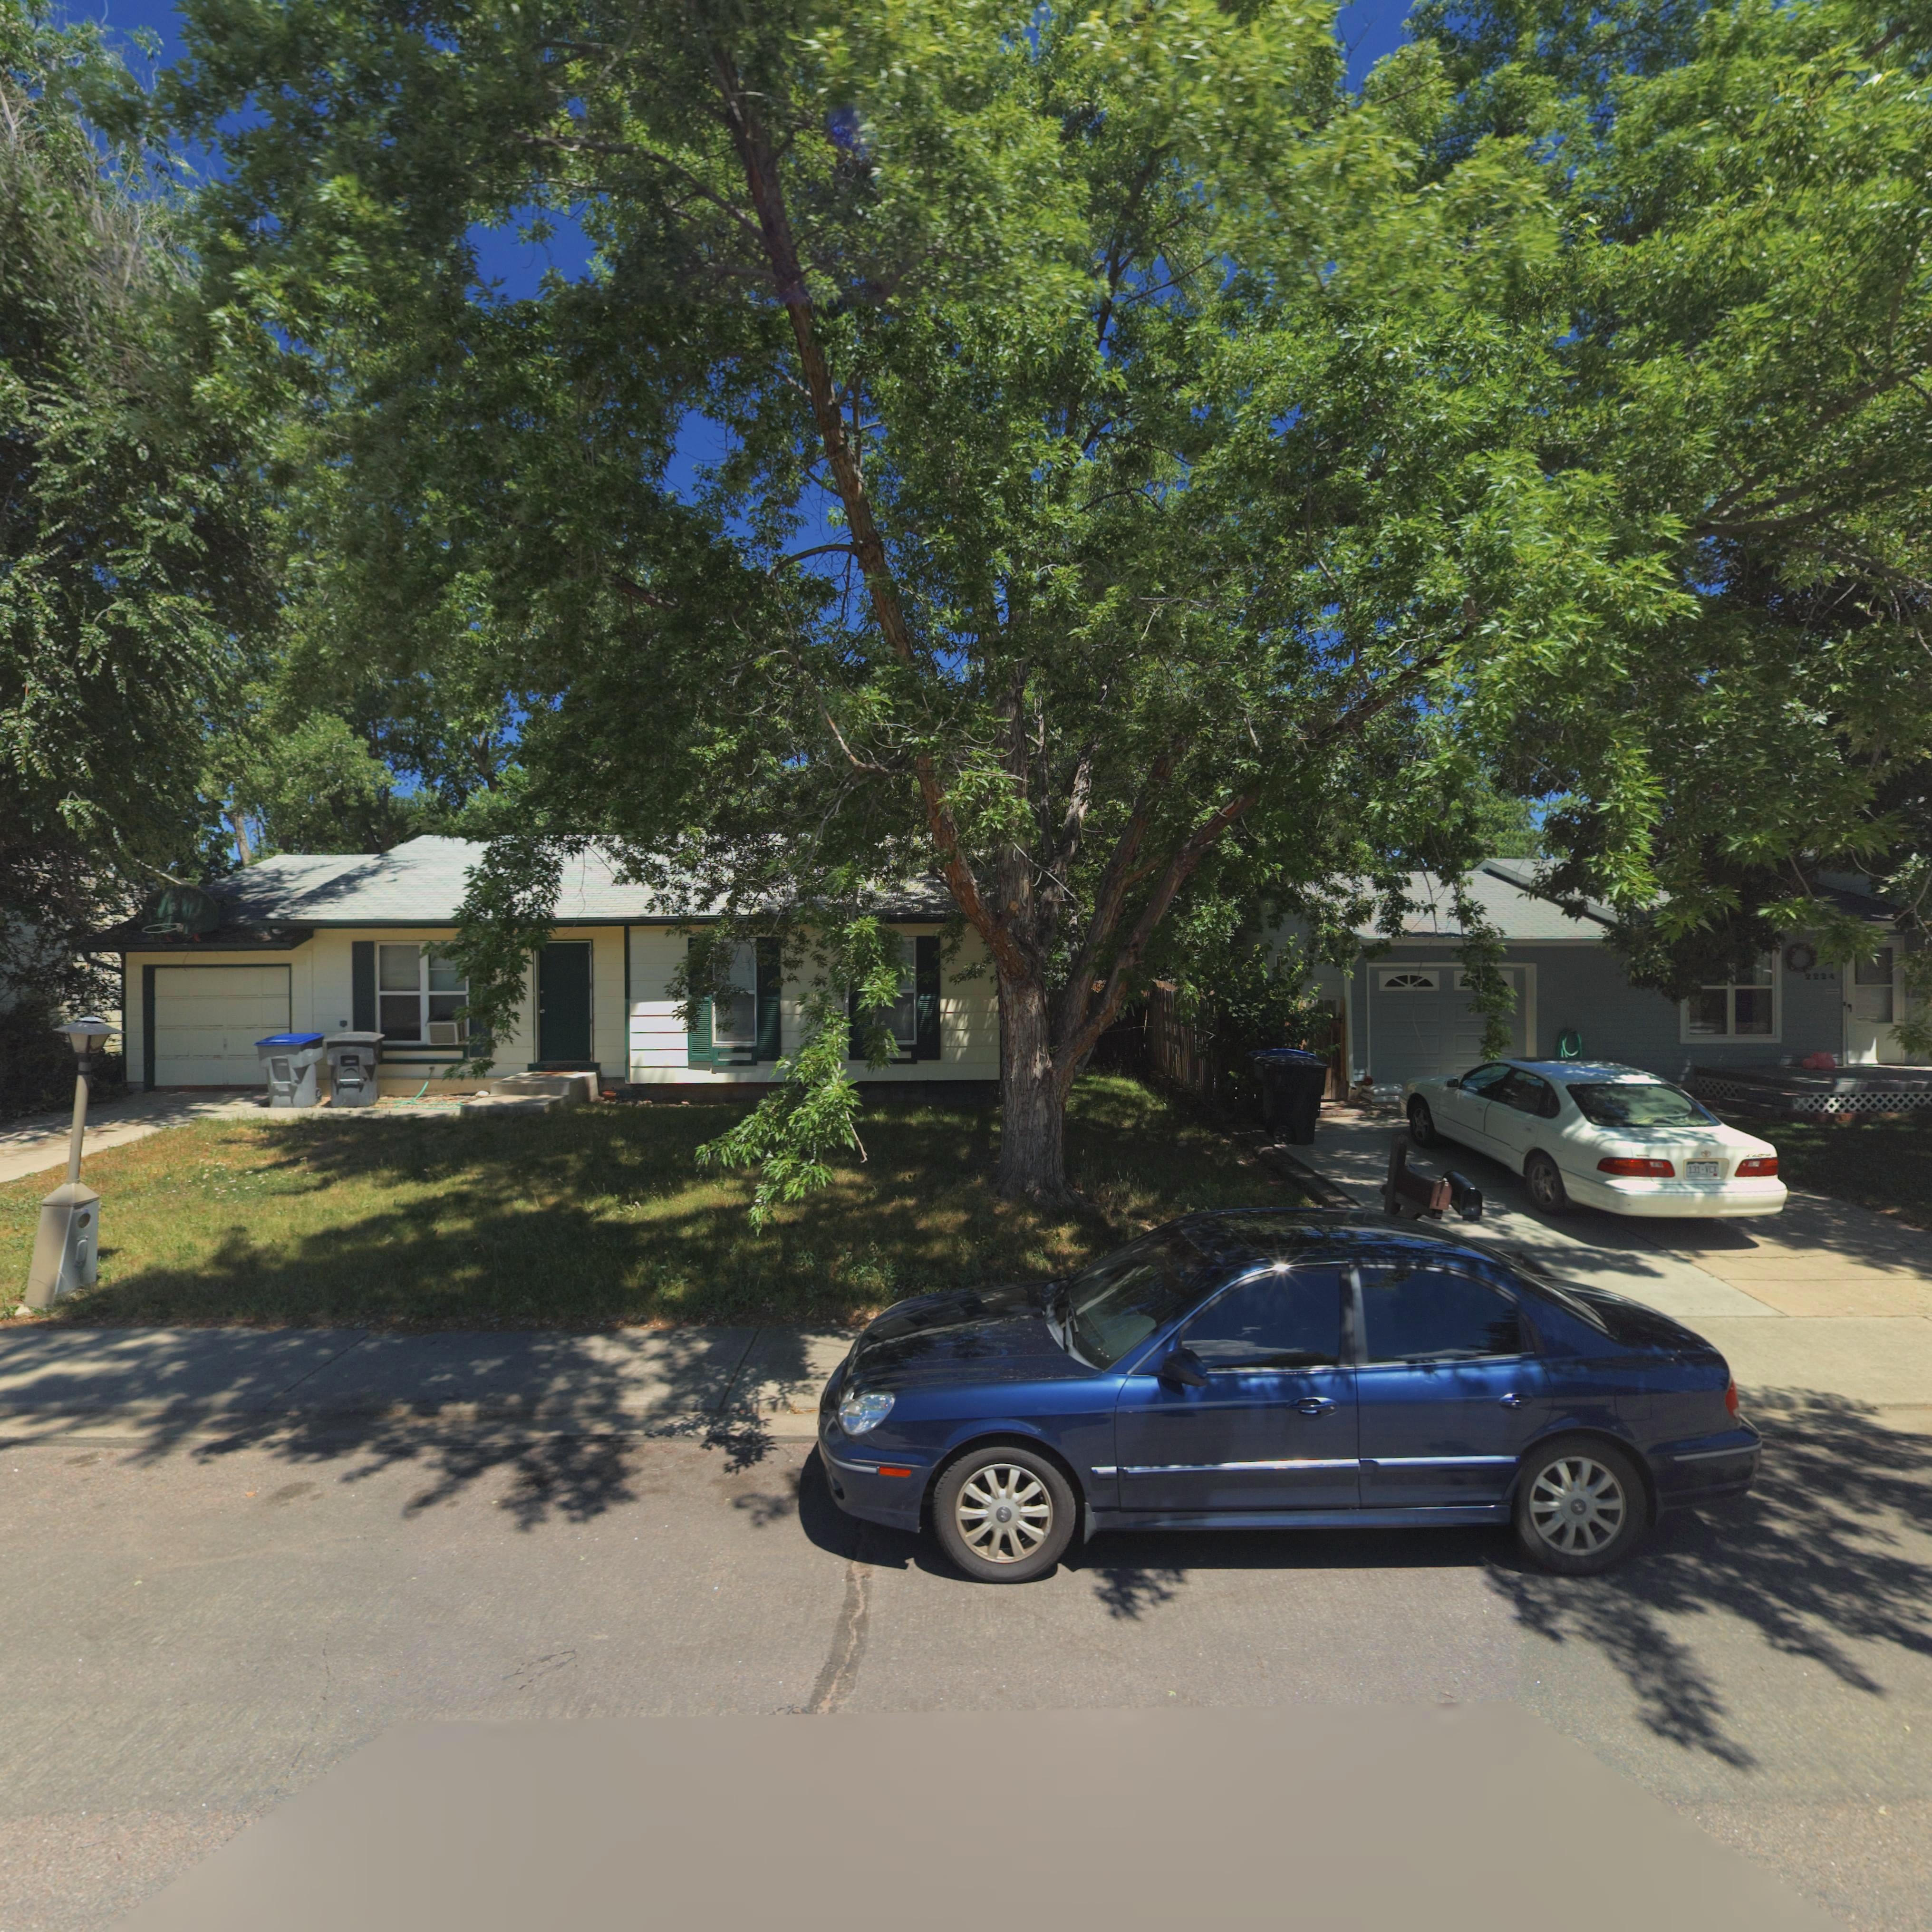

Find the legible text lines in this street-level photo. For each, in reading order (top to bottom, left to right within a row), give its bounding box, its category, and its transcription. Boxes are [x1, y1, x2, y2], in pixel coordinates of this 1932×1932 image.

[1804, 972, 1835, 980] StreetNumber: 2224